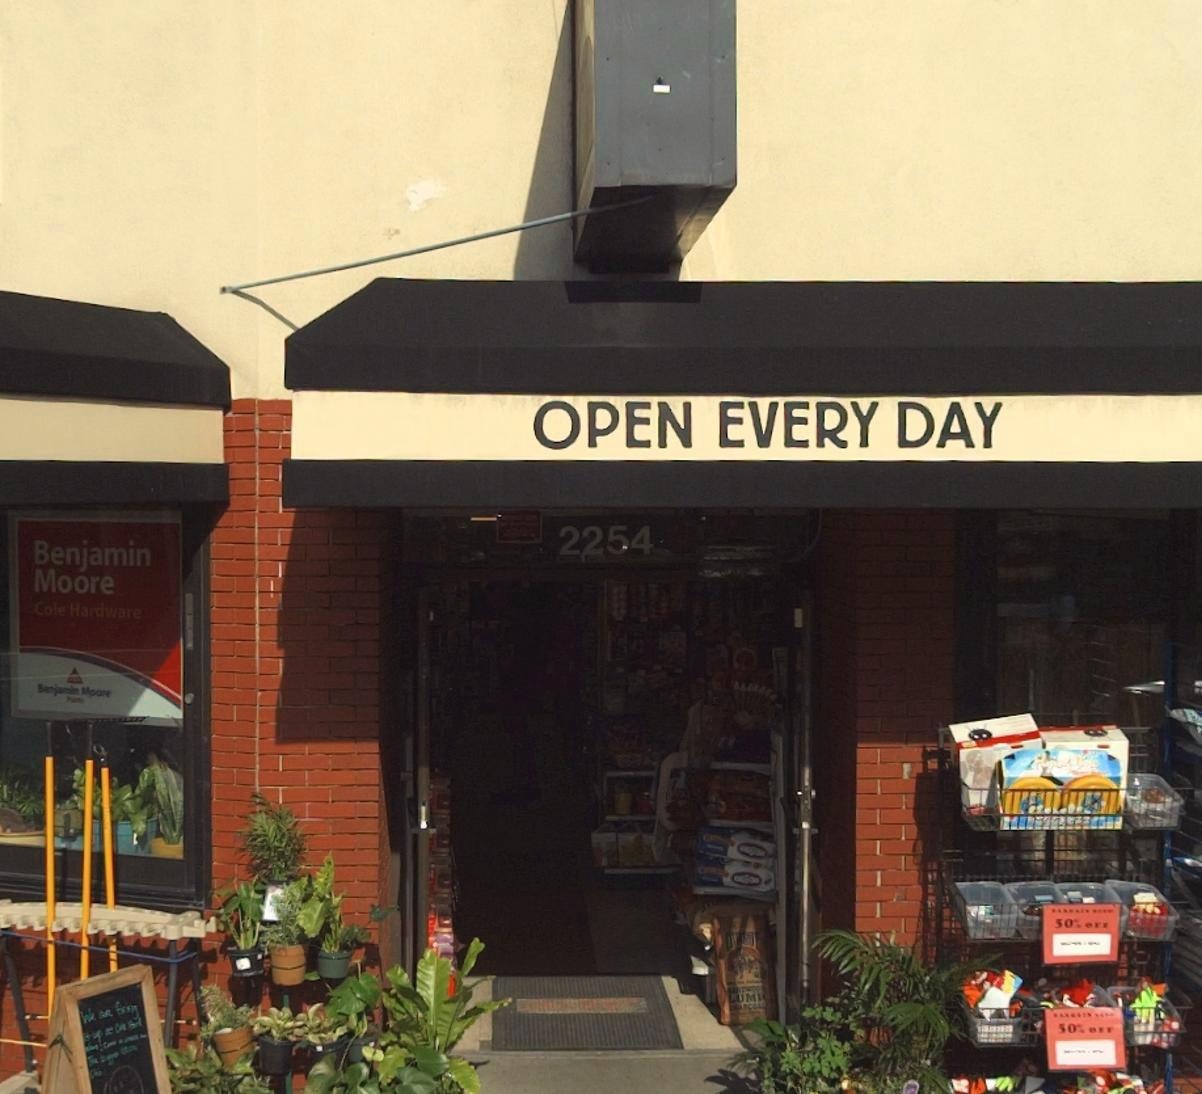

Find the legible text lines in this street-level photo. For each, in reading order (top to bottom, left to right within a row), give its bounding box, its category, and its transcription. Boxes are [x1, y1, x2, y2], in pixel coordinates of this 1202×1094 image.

[532, 398, 1004, 451] None: OPEN EVERY DAY
[555, 521, 655, 558] StreetNumber: 2254
[34, 535, 151, 572] None: Benjamin
[34, 566, 115, 594] None: Moore
[32, 600, 142, 620] None: Cole Hardware
[35, 682, 111, 700] None: Benjamin Moore
[1053, 915, 1109, 930] None: 30% OFF
[76, 1004, 113, 1028] None: We are
[1057, 1021, 1114, 1036] None: 30% OFF